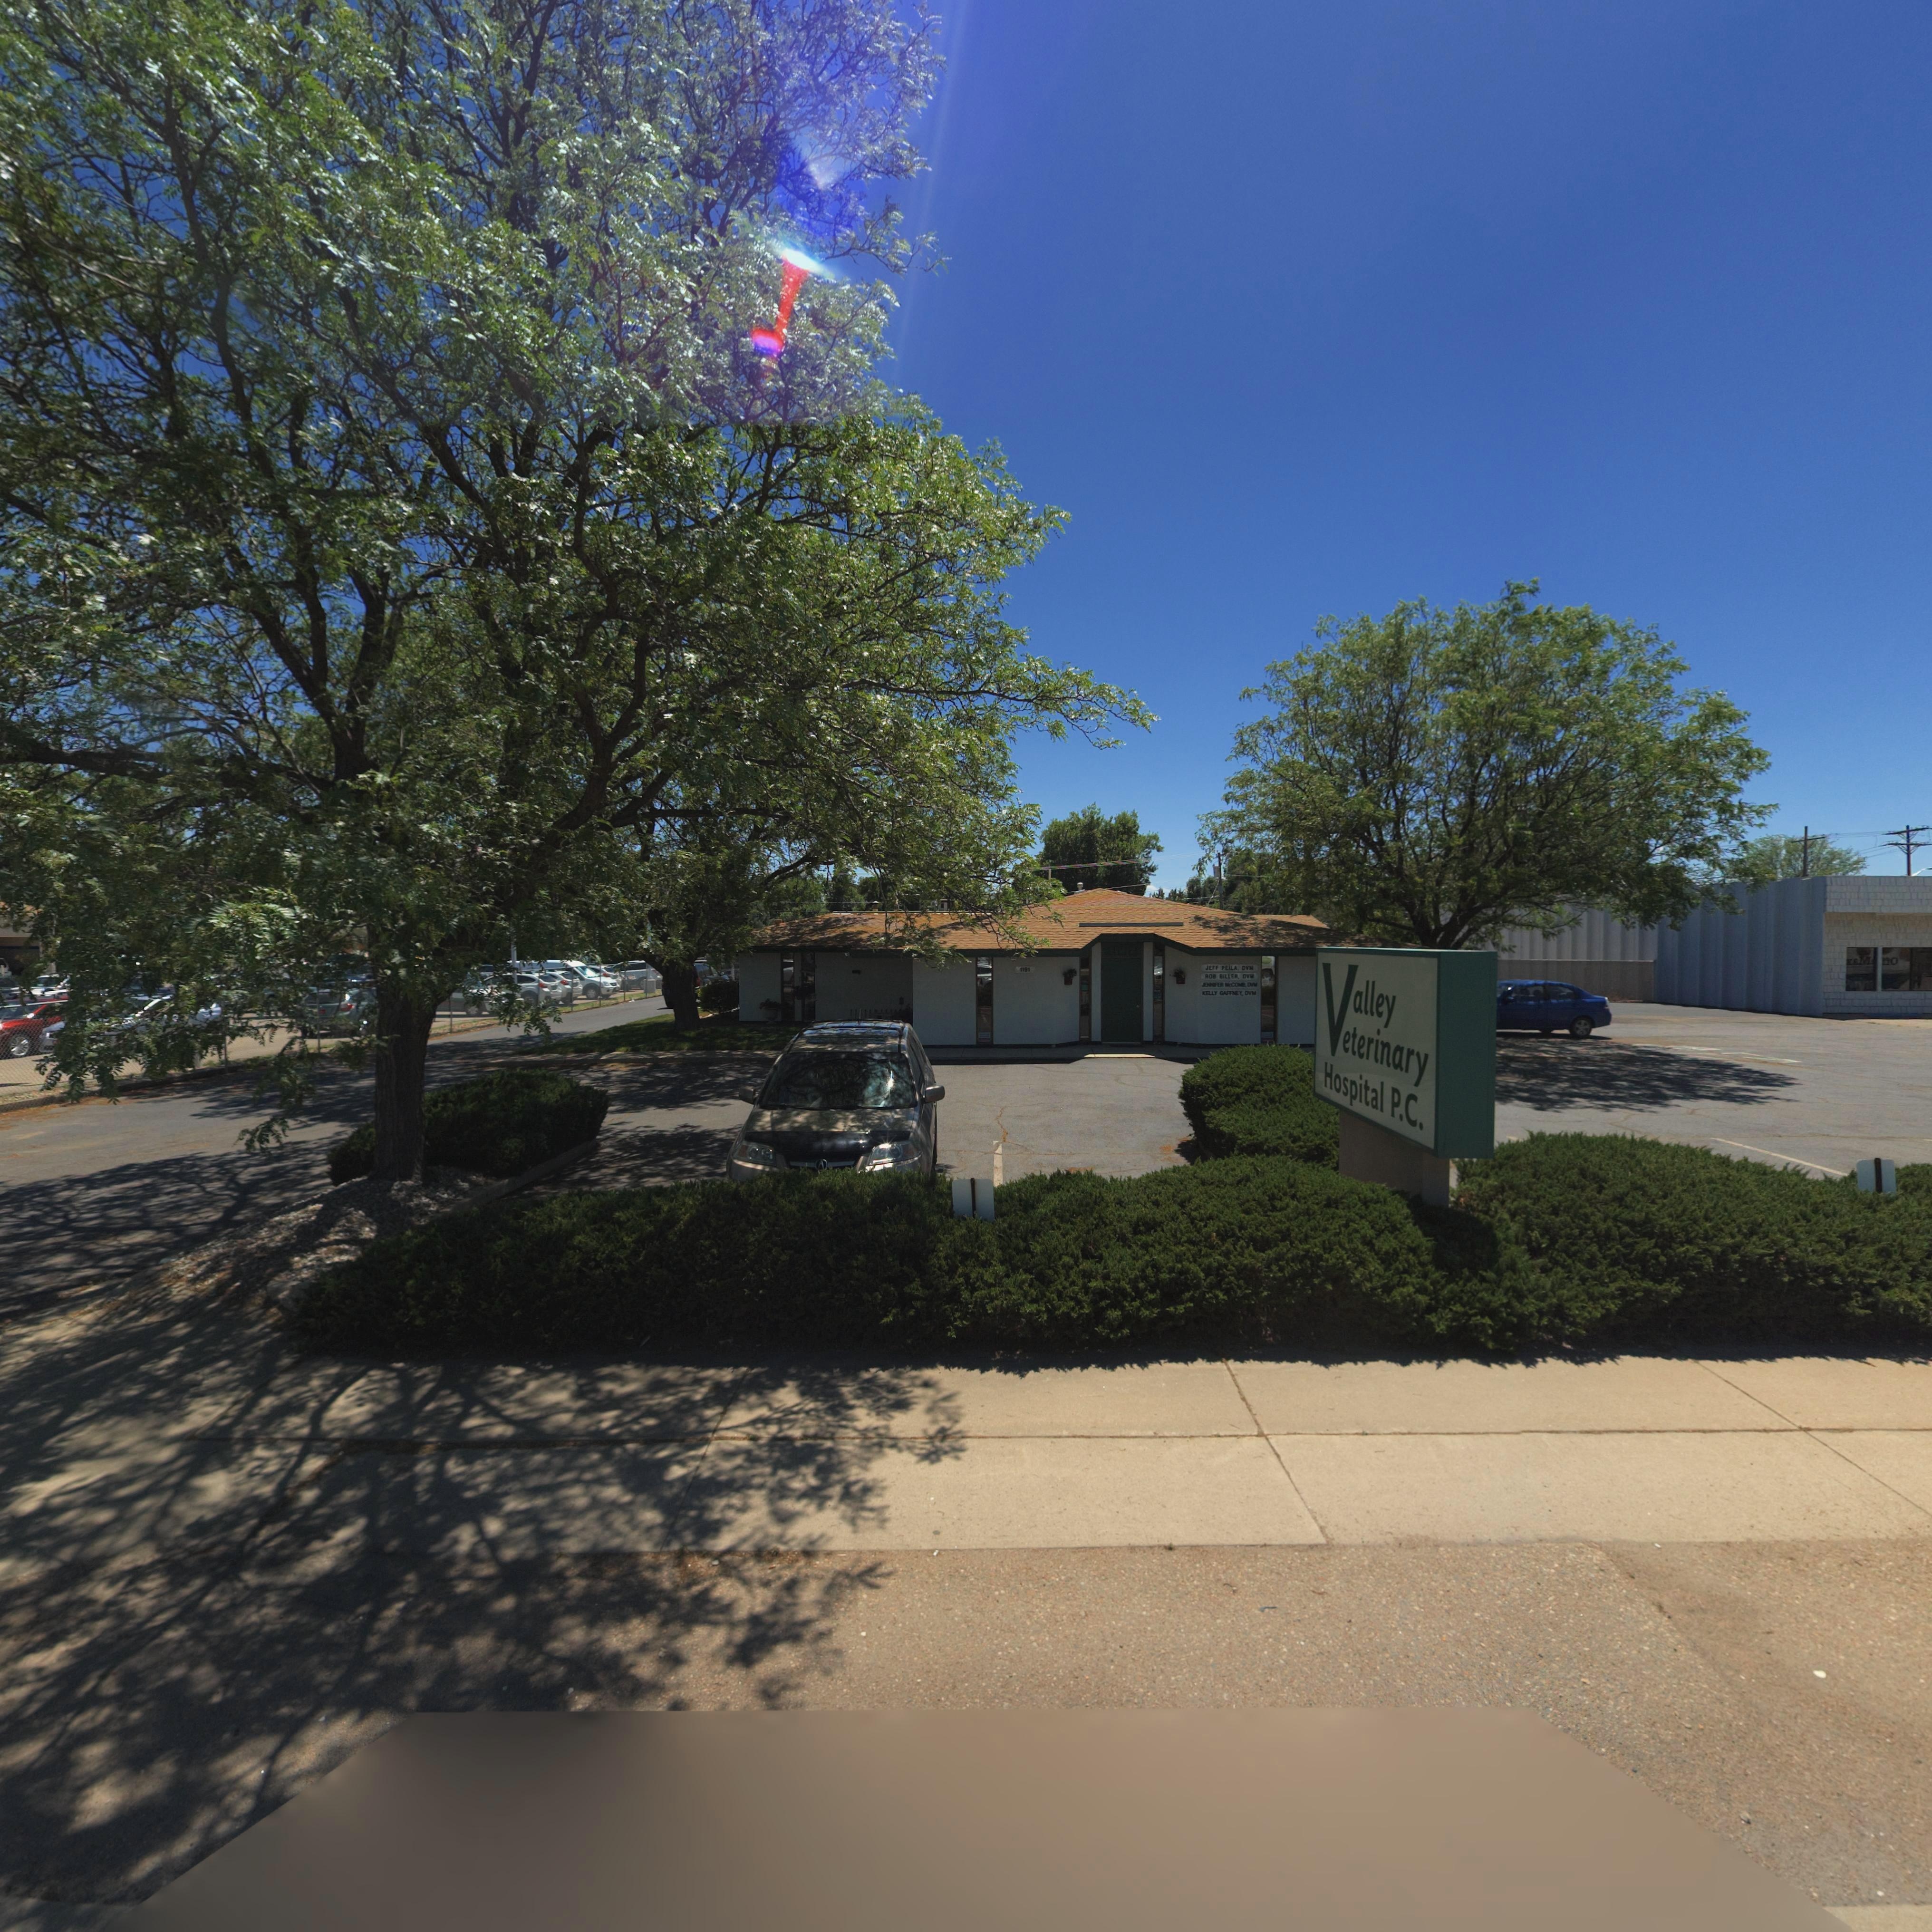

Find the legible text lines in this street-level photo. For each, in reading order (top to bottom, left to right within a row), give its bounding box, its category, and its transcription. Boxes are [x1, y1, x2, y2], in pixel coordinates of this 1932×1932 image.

[1020, 966, 1030, 972] StreetNumber: 1191
[1321, 961, 1360, 1057] BusinessName: V
[1352, 978, 1398, 1031] BusinessName: alley
[1341, 1025, 1430, 1088] BusinessName: eterinary
[1323, 1060, 1424, 1132] BusinessName: Hospital P.C.